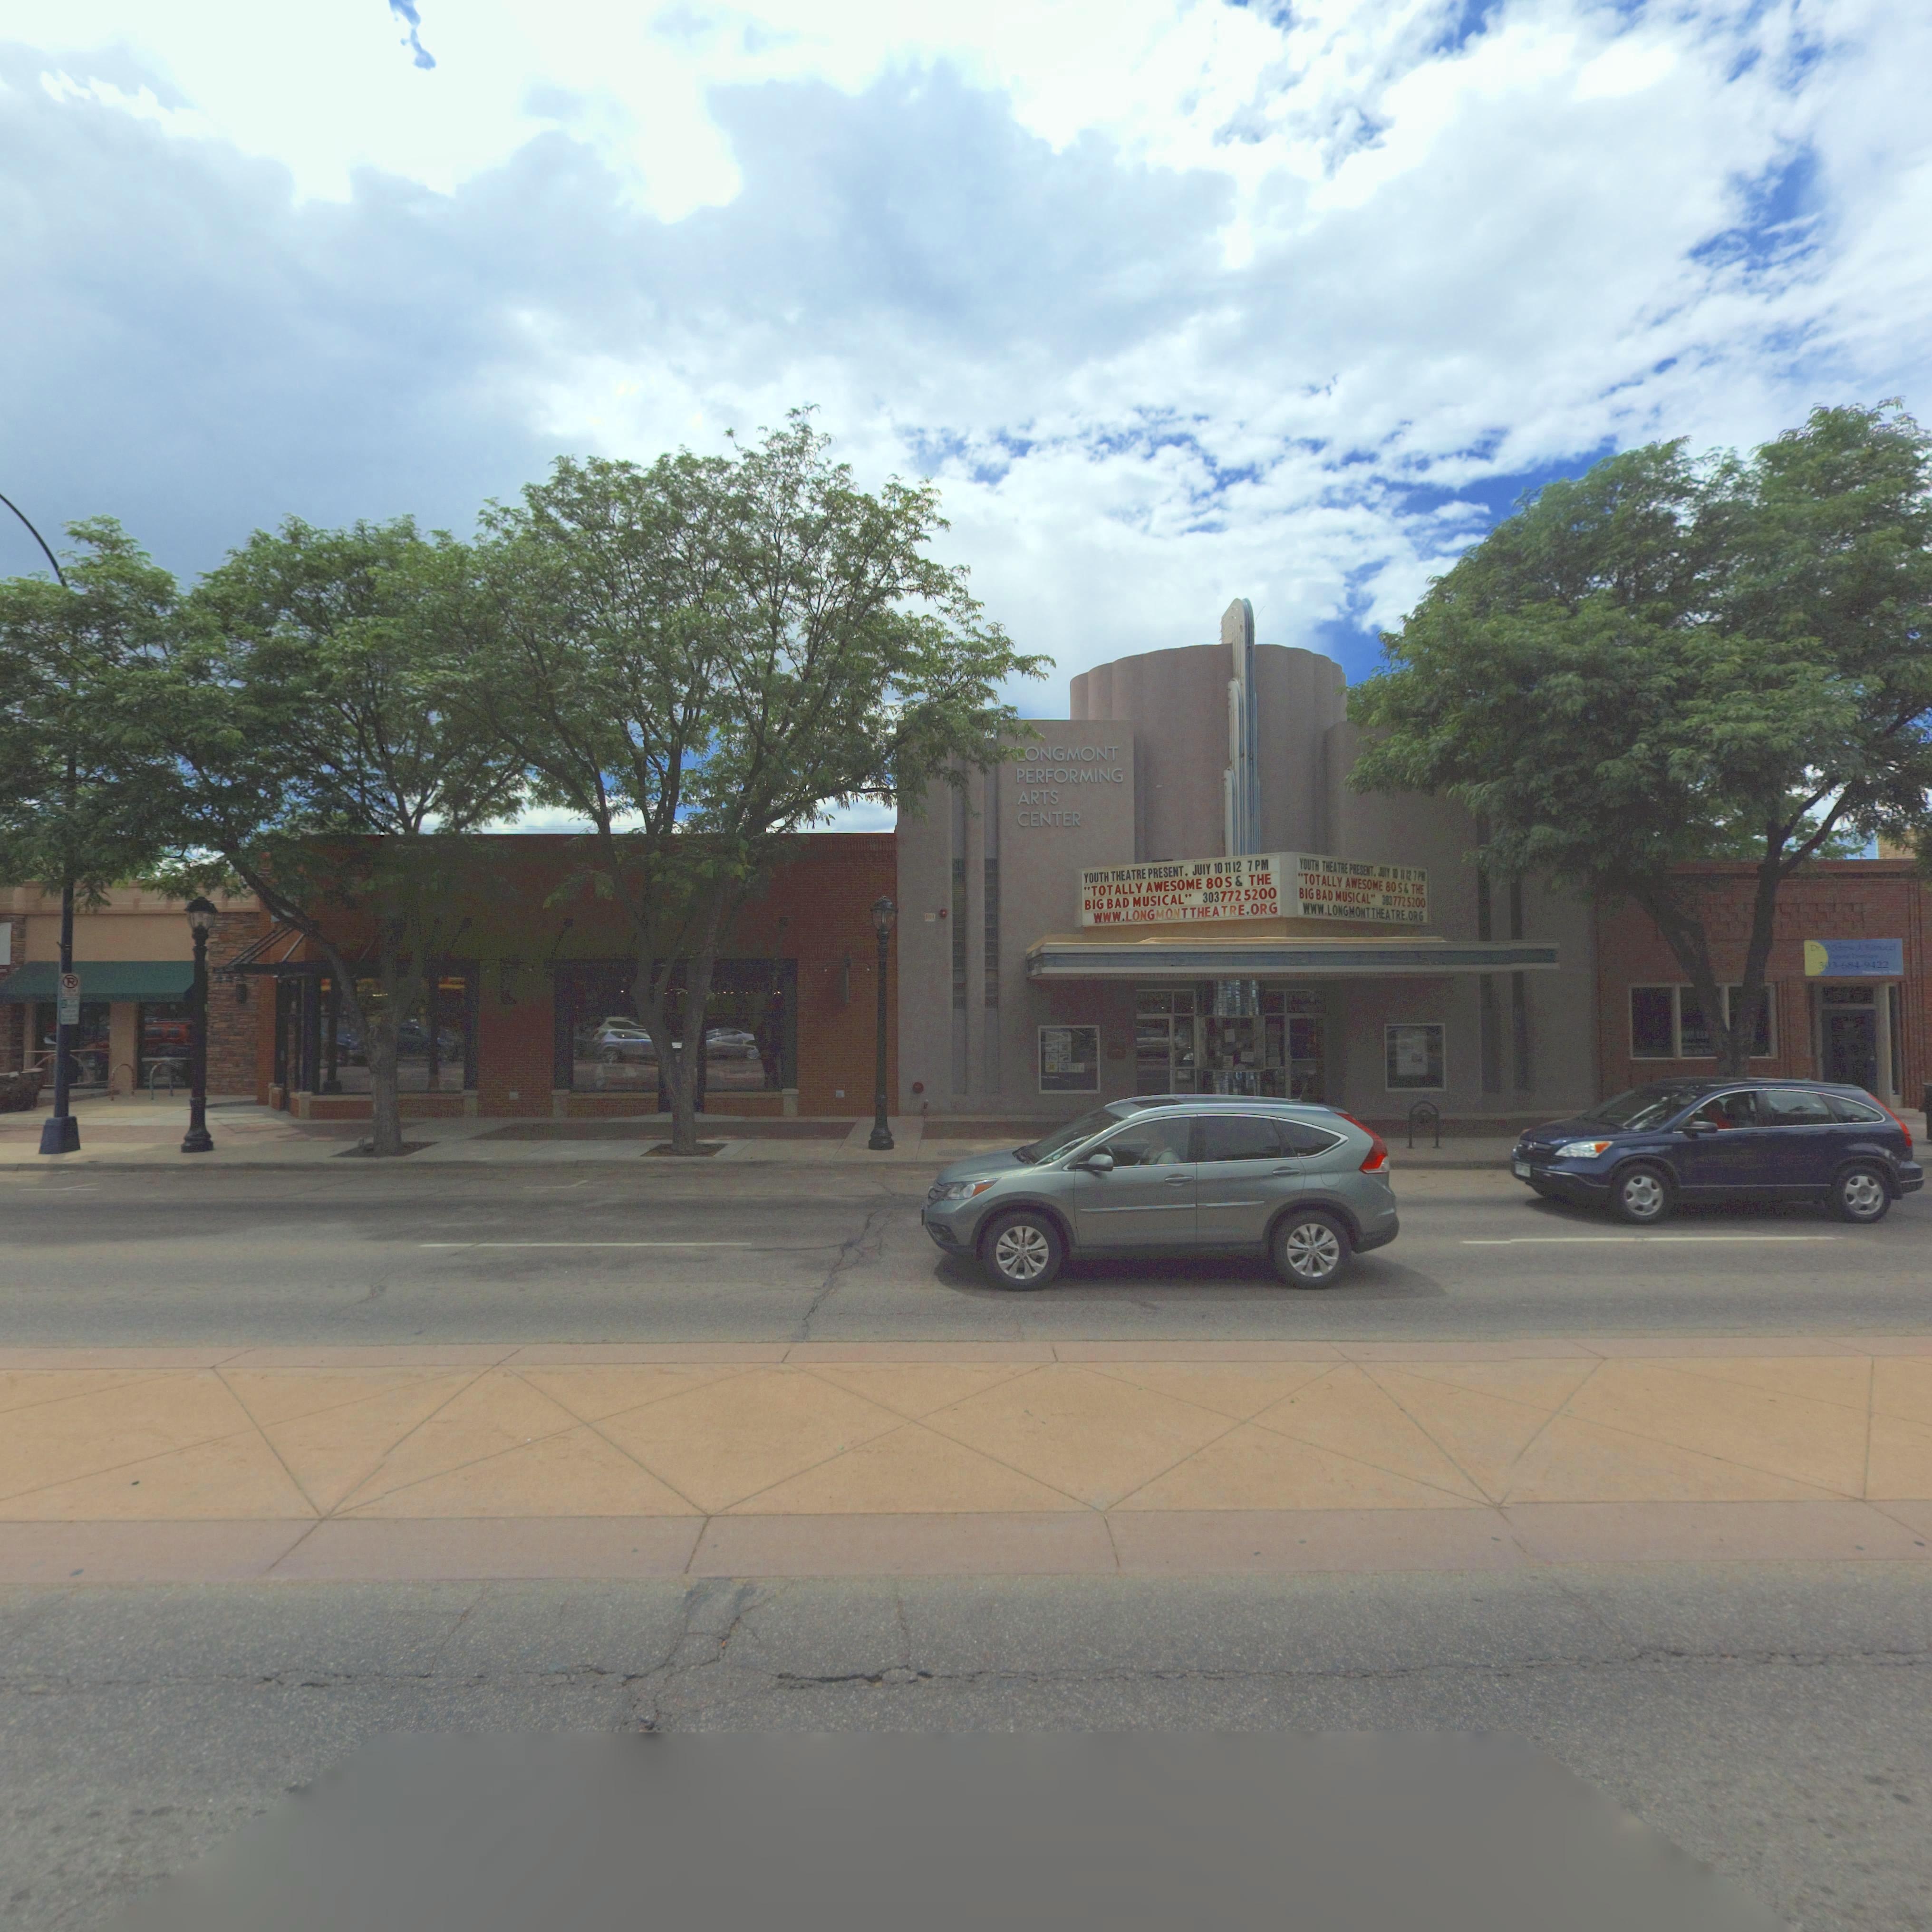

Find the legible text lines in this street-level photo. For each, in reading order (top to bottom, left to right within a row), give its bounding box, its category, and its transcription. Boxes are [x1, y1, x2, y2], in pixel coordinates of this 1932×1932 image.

[1024, 745, 1121, 763] BusinessName: ONGMONT
[1015, 767, 1124, 784] BusinessName: PERFORMING
[1015, 789, 1061, 806] BusinessName: ARTS
[1016, 811, 1082, 828] BusinessName: CENTER
[1809, 942, 1896, 953] BusinessName: D******* J*****oo